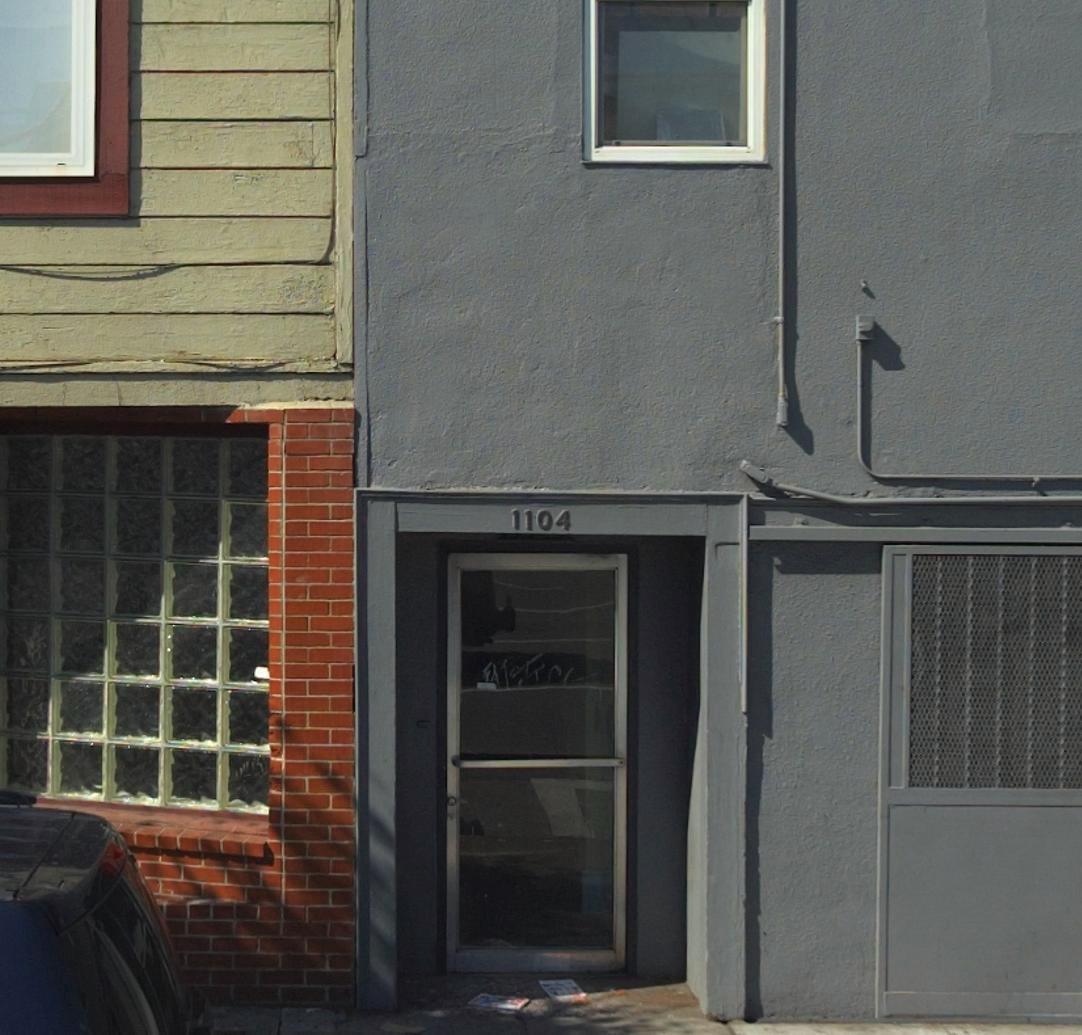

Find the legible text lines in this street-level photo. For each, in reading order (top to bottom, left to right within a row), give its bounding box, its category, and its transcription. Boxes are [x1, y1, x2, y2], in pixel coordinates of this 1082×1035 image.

[506, 505, 576, 534] StreetNumber: 1104